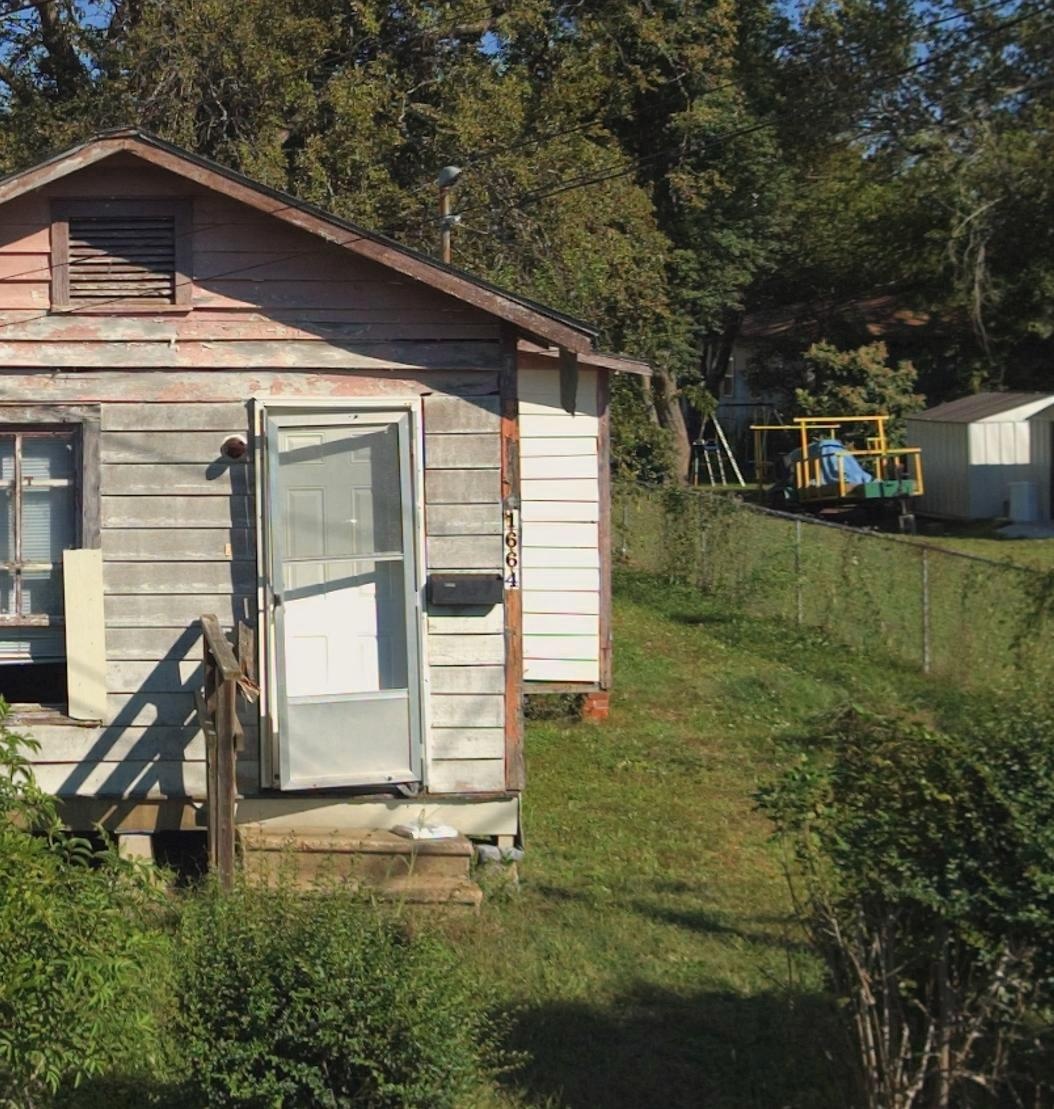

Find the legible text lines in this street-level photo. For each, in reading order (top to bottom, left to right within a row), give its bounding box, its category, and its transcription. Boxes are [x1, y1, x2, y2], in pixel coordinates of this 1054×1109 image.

[503, 510, 519, 590] StreetNumber: 1664